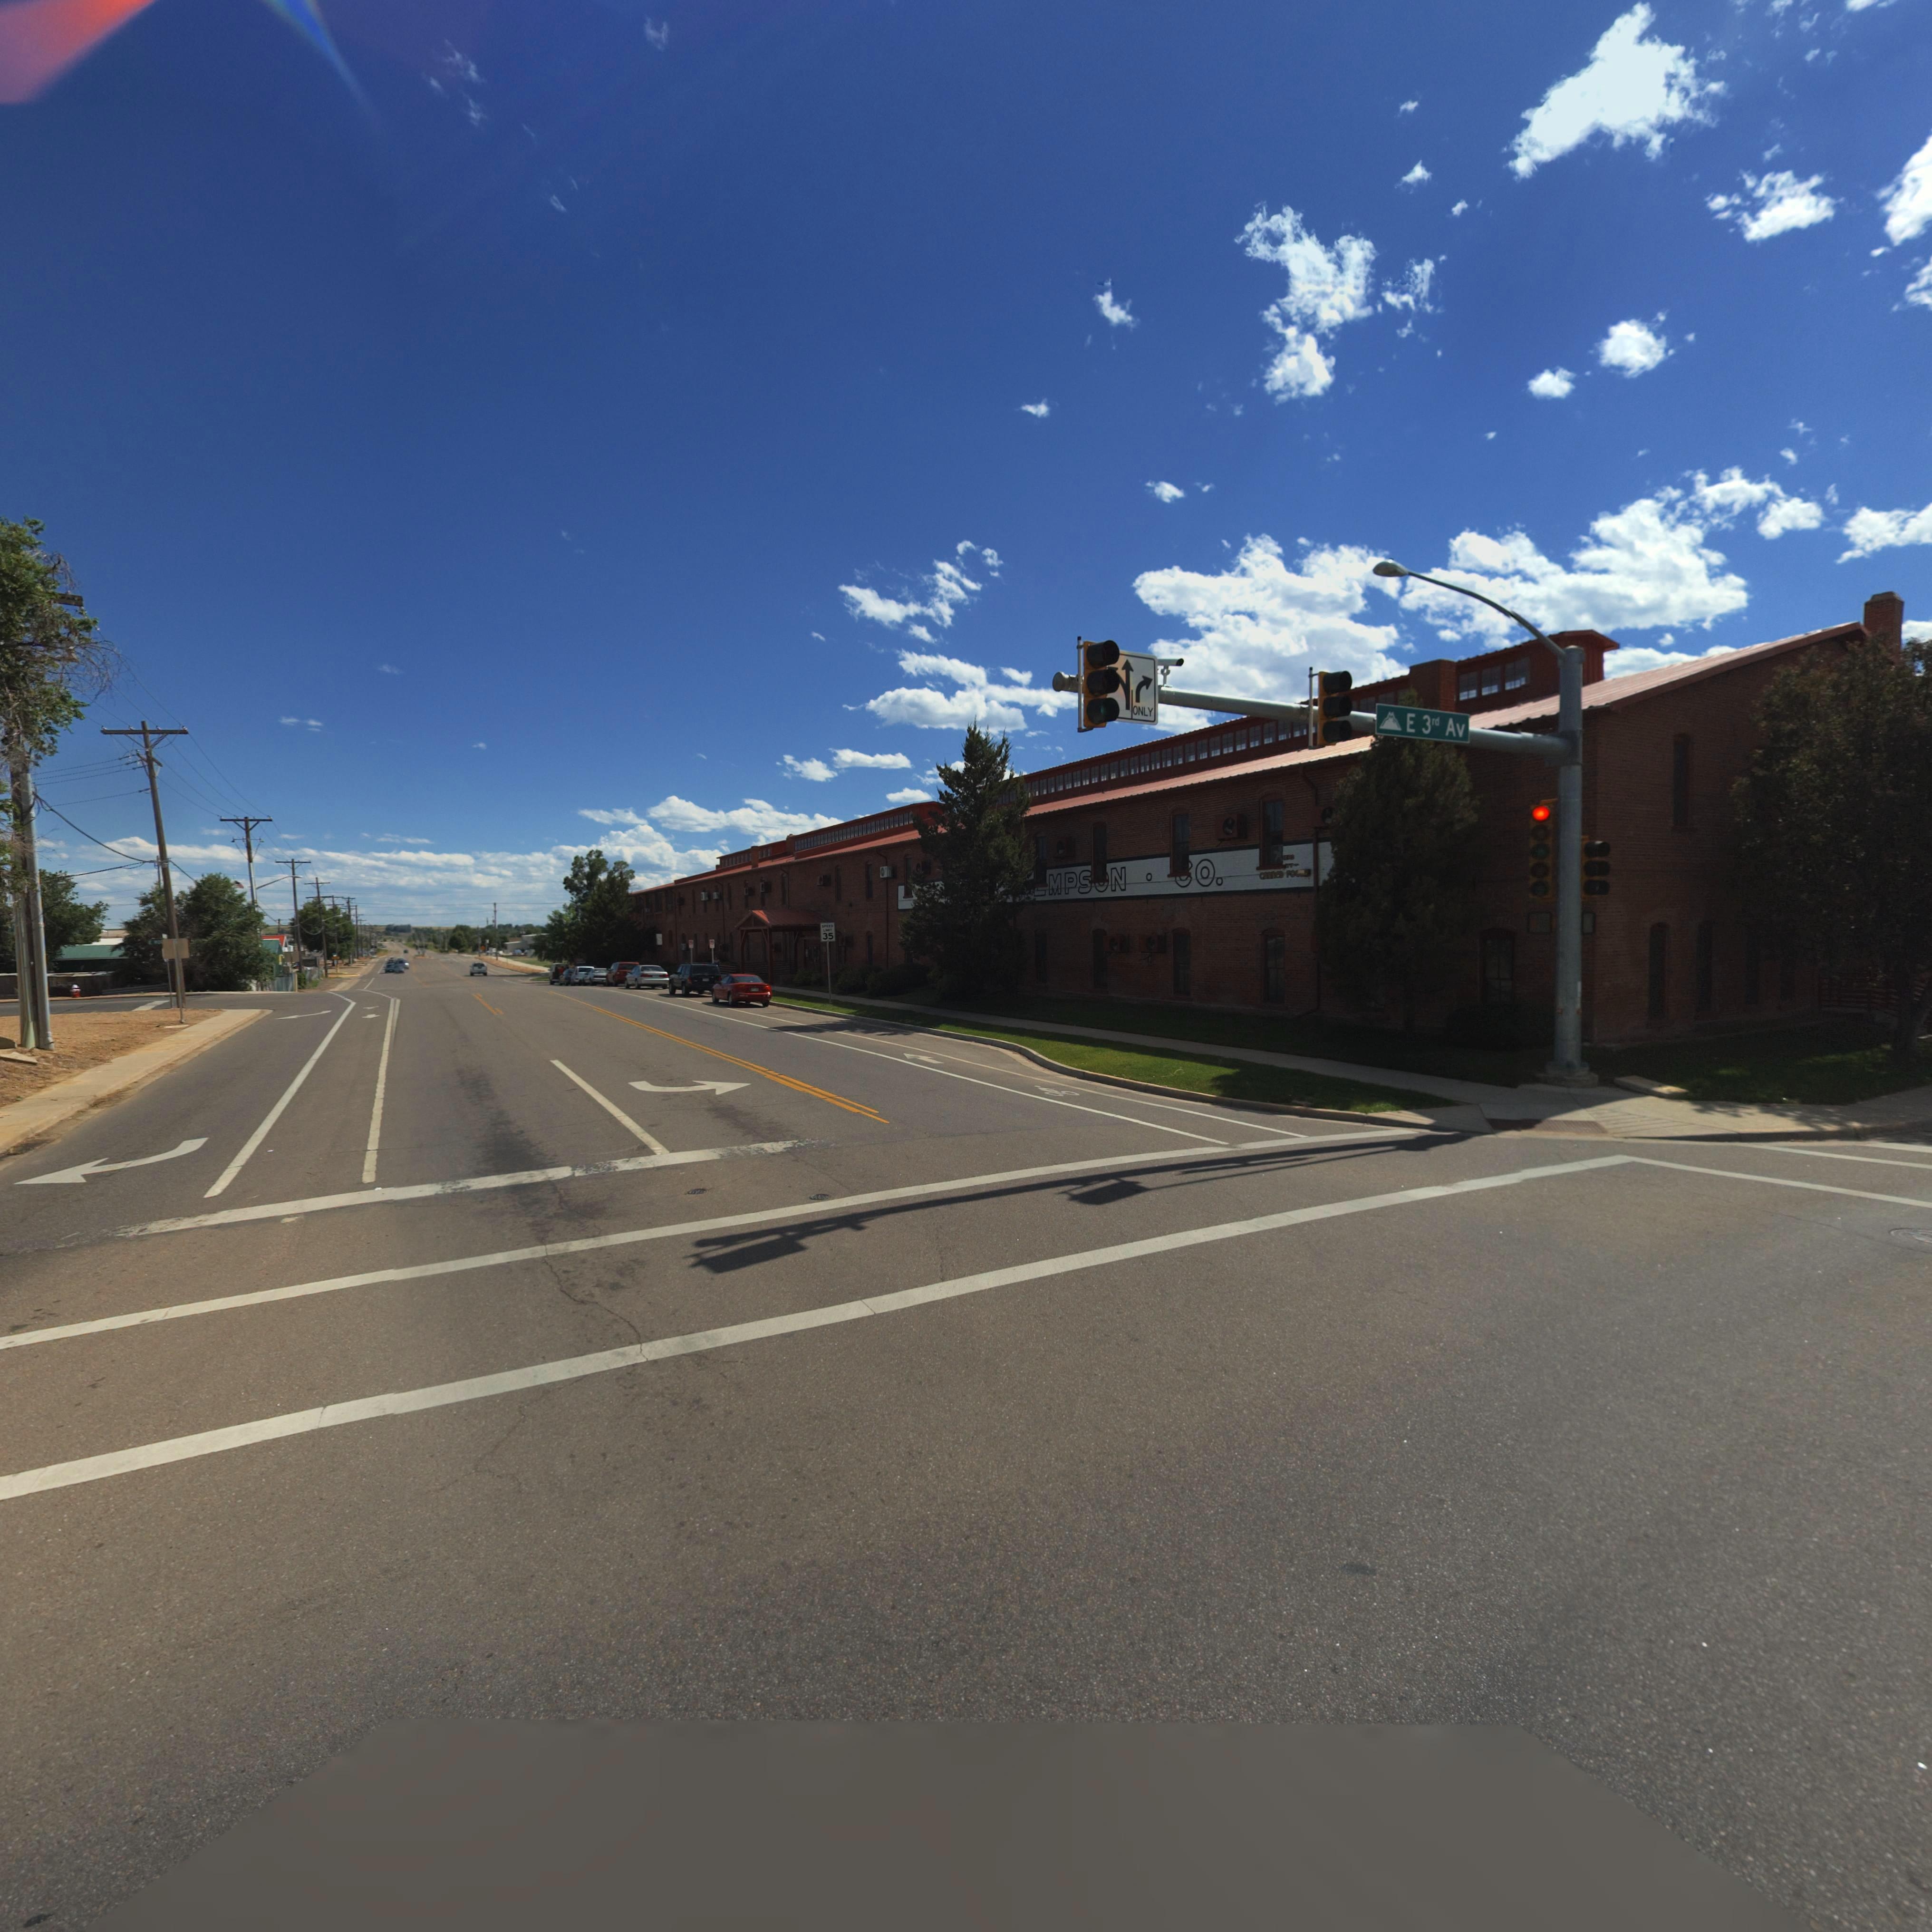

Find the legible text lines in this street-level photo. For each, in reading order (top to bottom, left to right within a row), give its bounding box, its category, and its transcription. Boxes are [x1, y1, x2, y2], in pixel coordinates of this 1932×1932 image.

[1406, 712, 1467, 738] StreetName: E 3rd Av